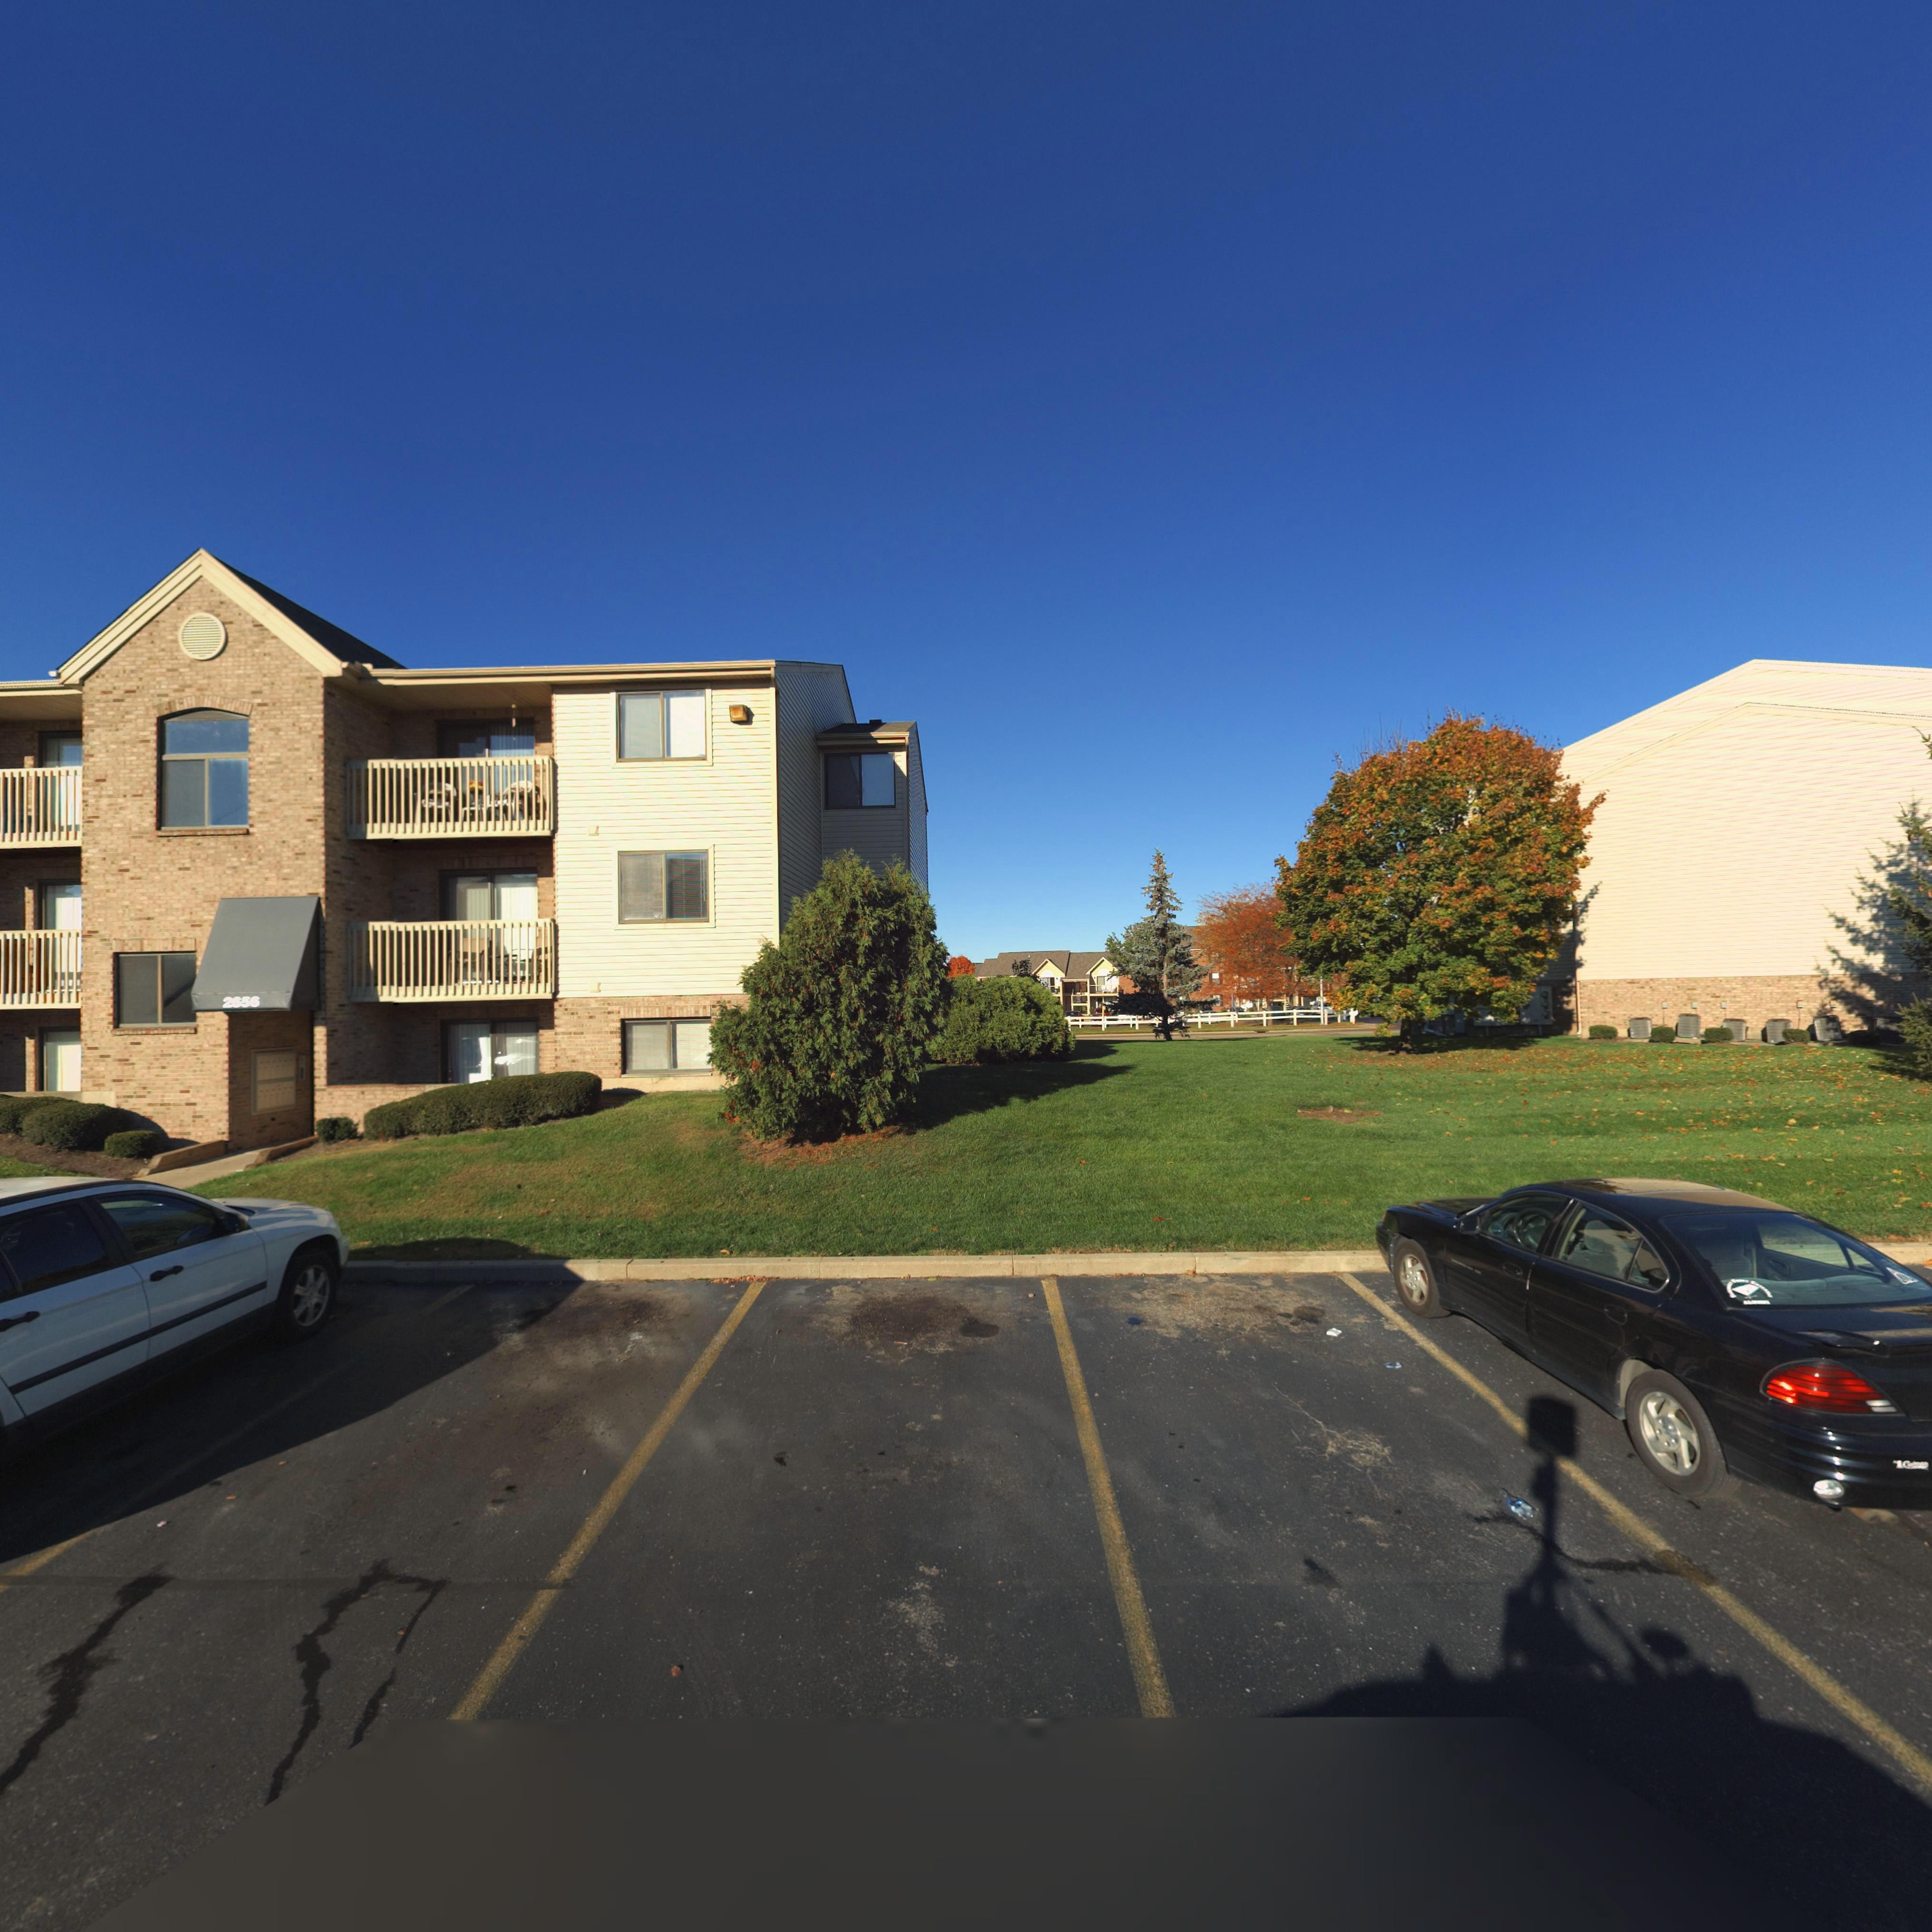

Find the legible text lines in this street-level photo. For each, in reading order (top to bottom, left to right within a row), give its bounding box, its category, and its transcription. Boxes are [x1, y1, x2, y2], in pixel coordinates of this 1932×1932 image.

[222, 995, 261, 1009] StreetNumber: 2656